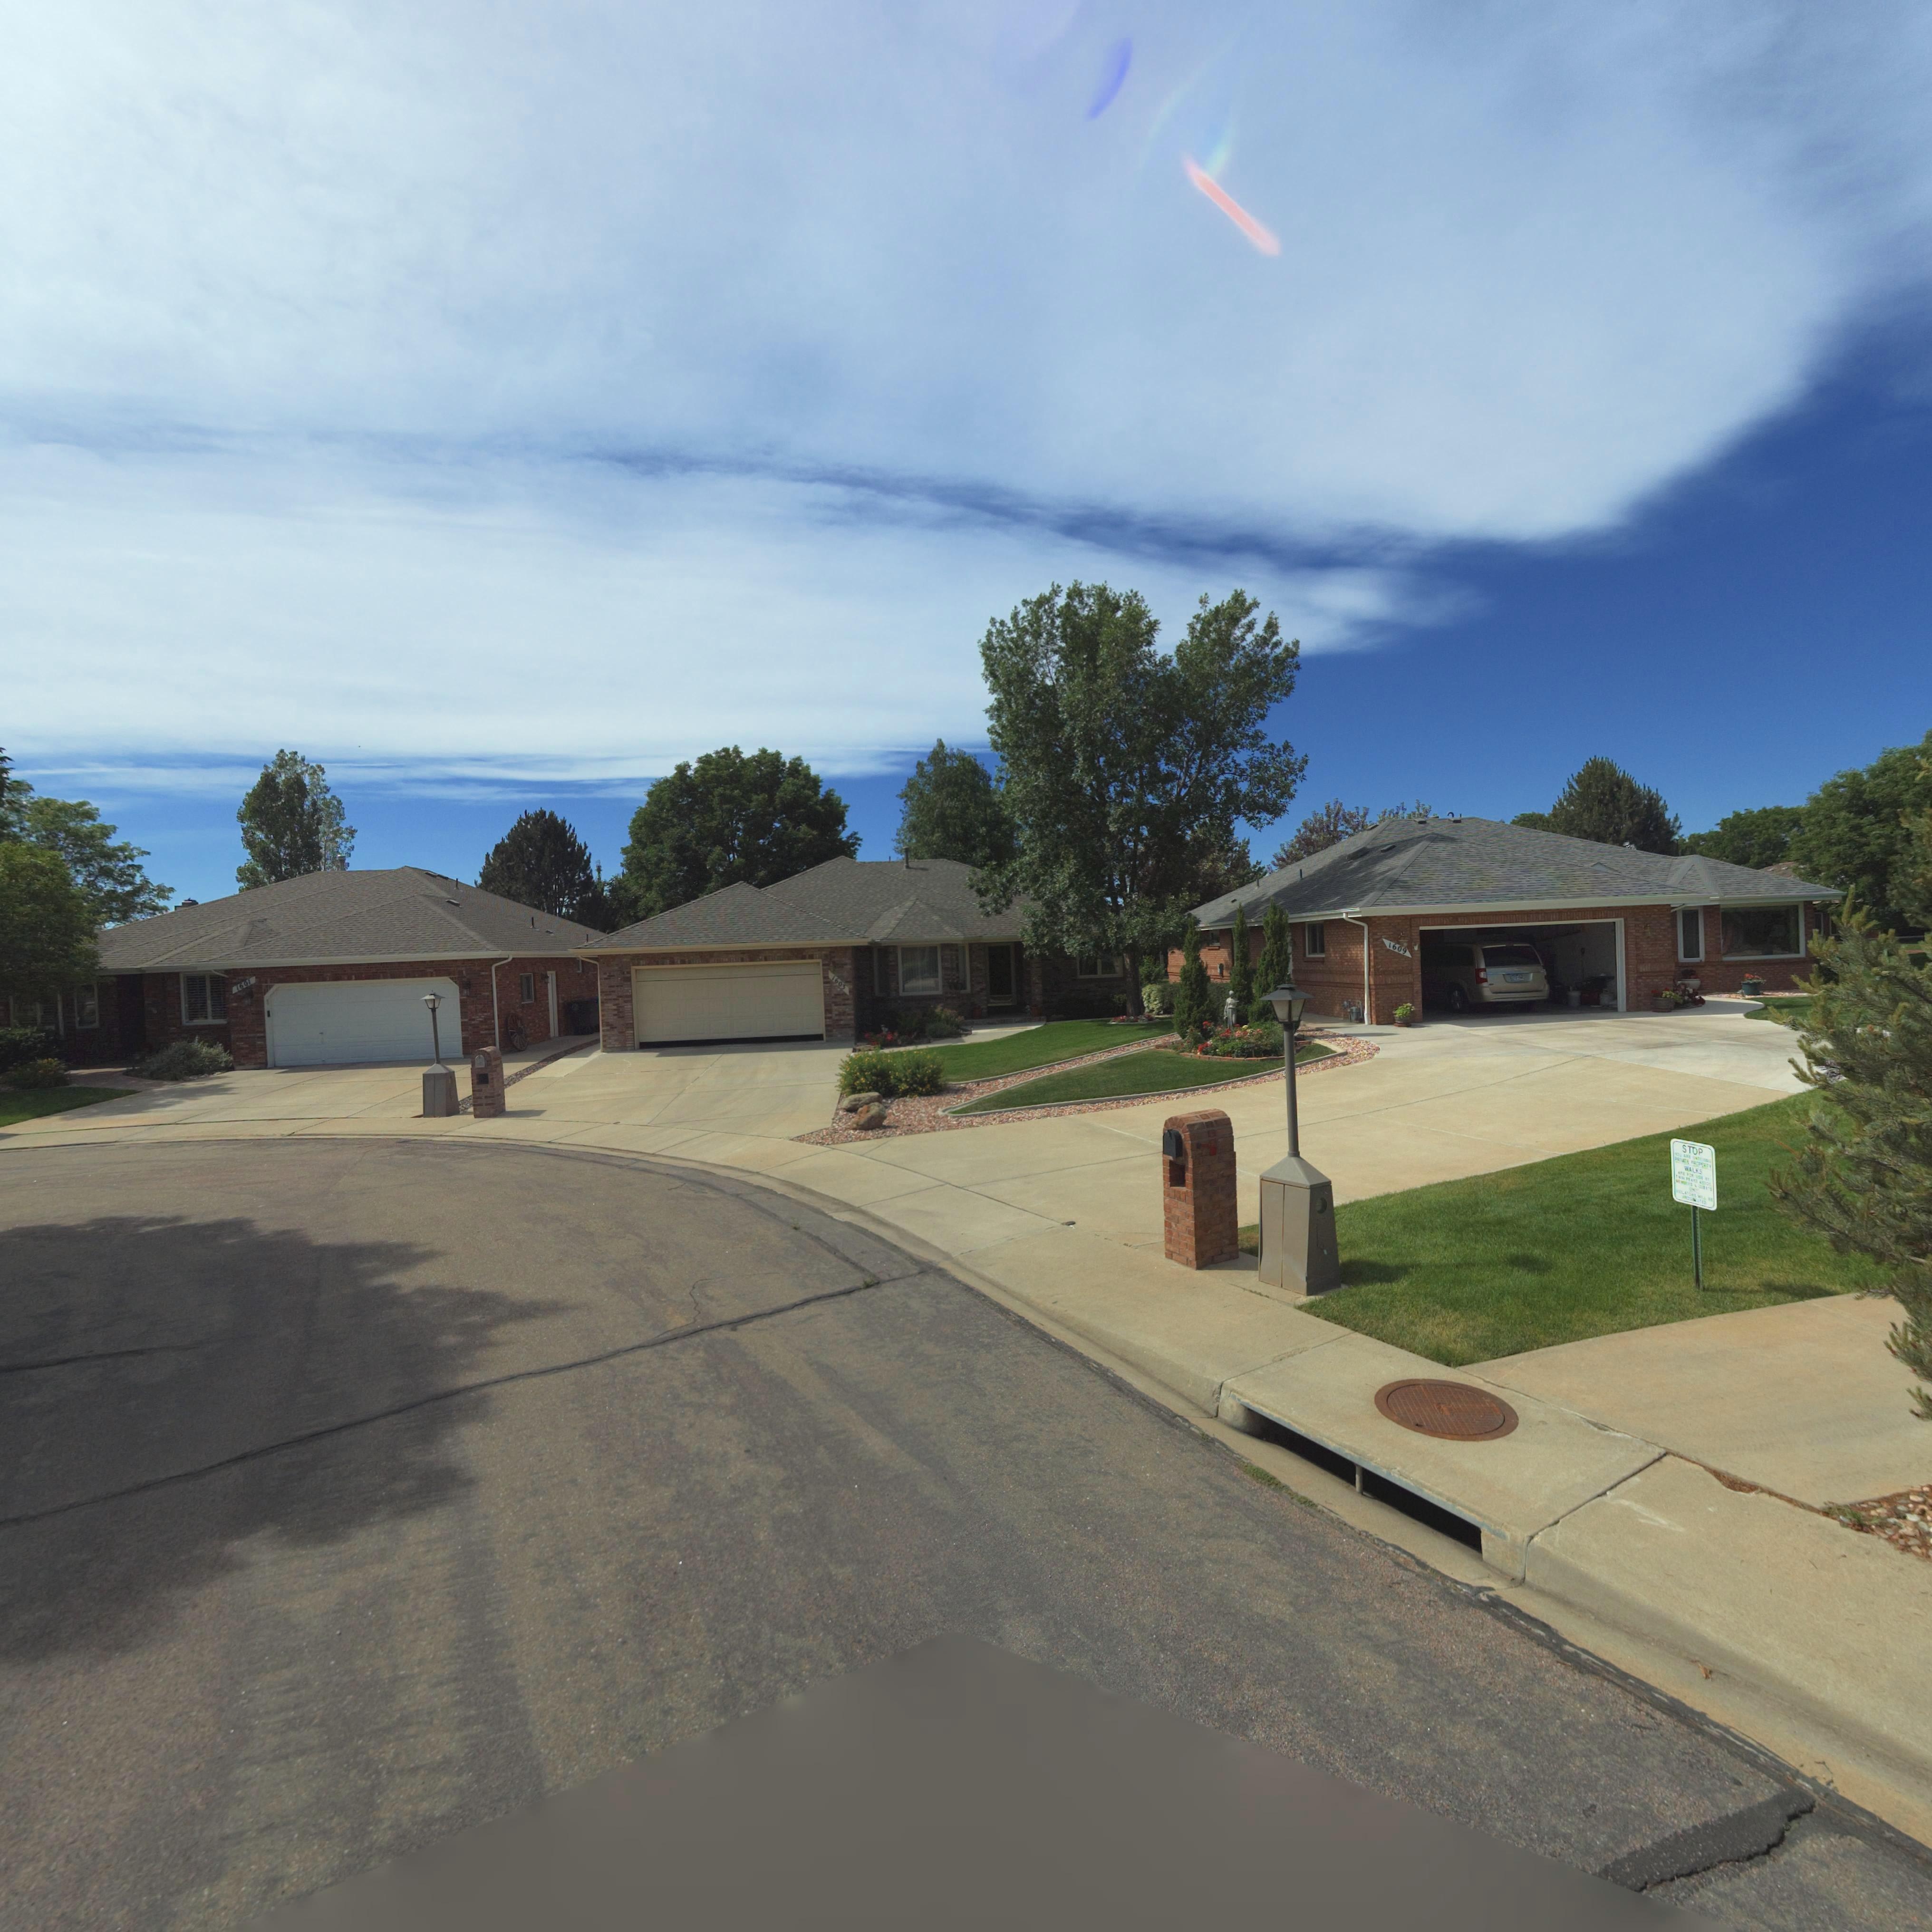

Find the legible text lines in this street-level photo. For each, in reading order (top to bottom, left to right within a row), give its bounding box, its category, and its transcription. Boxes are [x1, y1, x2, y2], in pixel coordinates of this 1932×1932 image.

[1388, 942, 1407, 954] StreetNumber: 1609
[236, 978, 251, 991] StreetNumber: 1601
[831, 975, 847, 990] StreetNumber: 1603